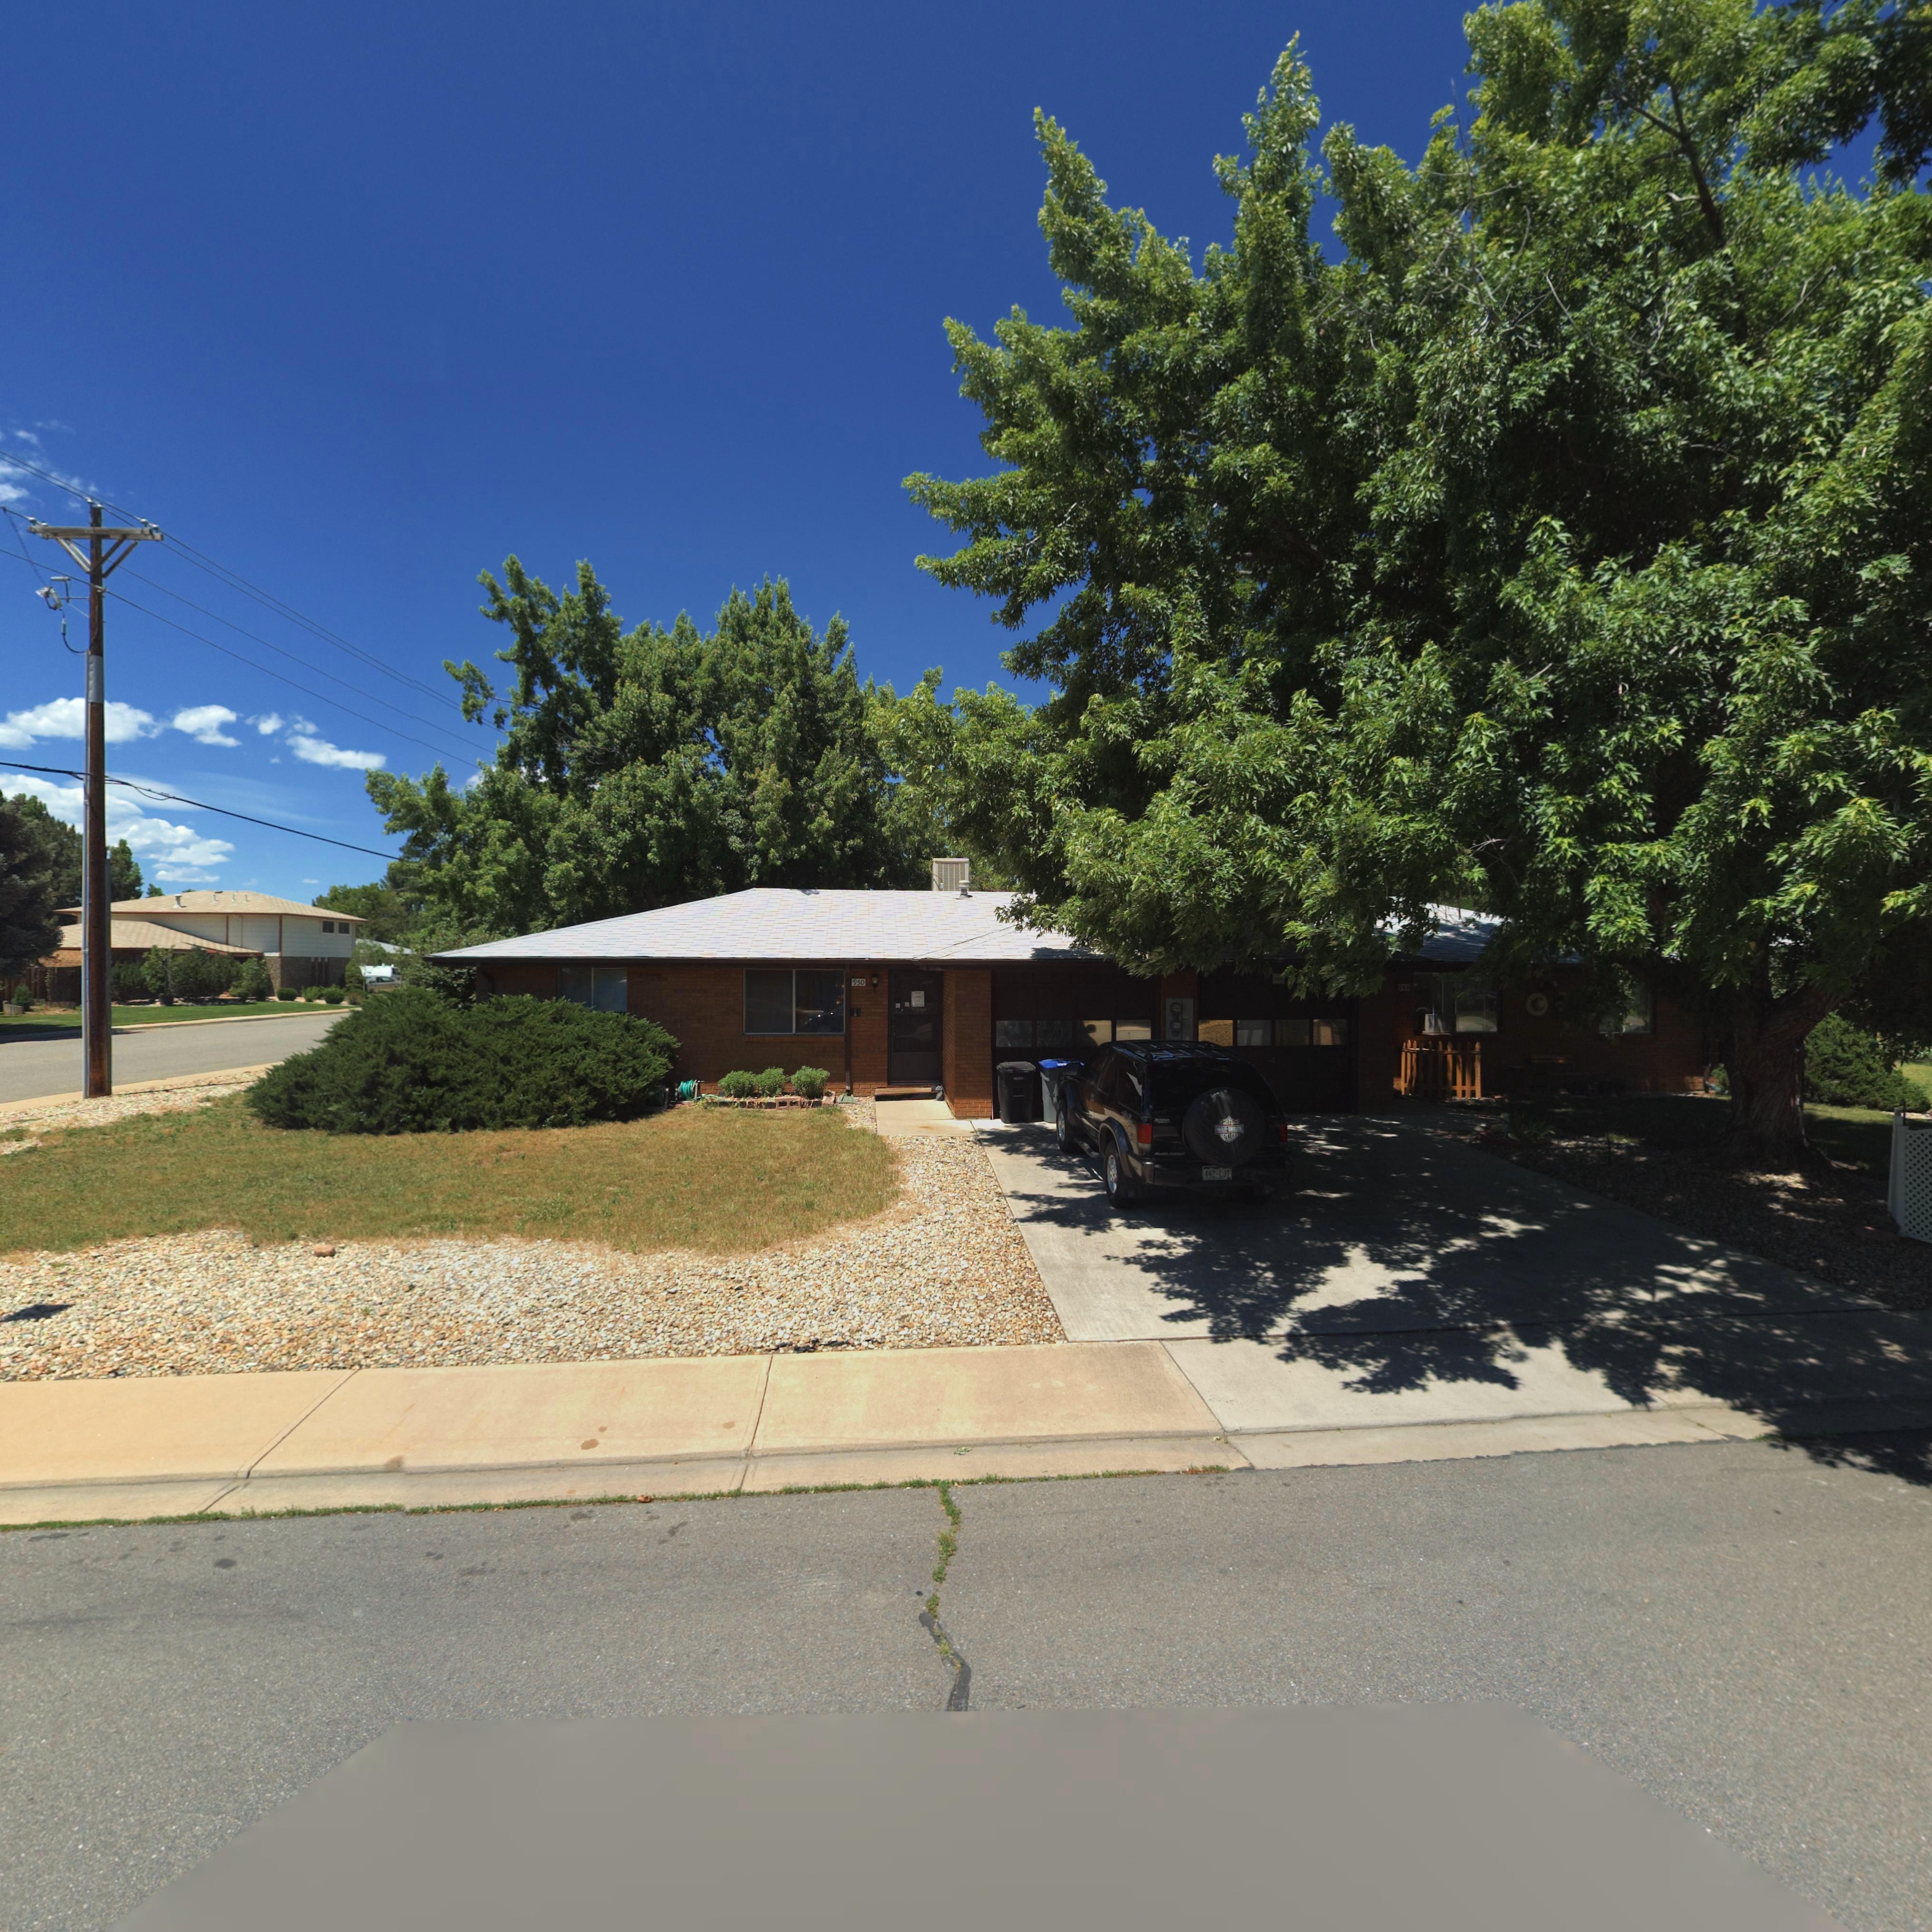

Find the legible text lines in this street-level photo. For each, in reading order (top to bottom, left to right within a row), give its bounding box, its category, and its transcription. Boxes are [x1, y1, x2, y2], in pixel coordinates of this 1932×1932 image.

[853, 979, 864, 985] StreetNumber: 950
[1398, 984, 1409, 990] StreetNumber: 948